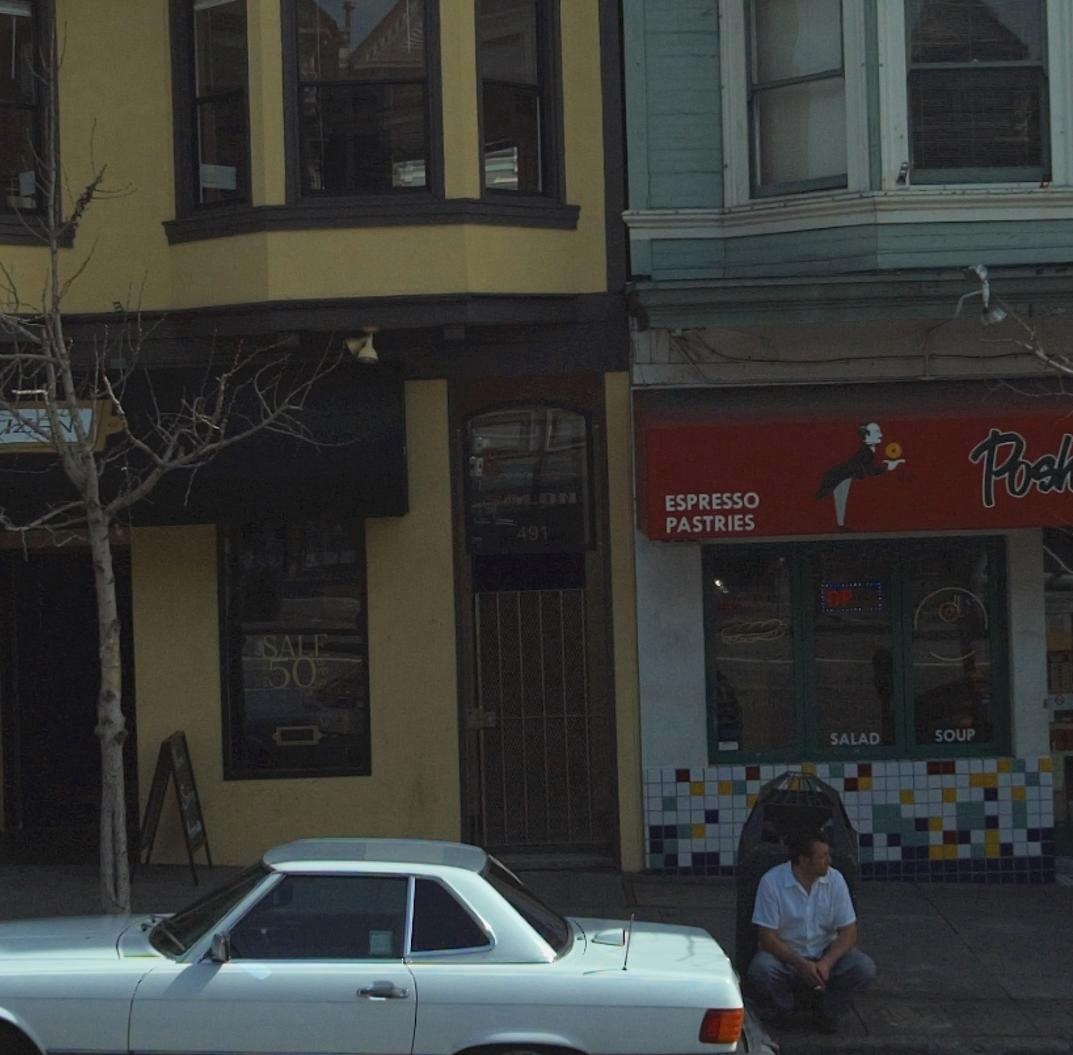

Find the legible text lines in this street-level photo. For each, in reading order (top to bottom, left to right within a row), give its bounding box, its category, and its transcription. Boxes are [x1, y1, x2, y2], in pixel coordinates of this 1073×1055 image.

[964, 425, 1073, 516] BusinessName: Pos*
[482, 487, 583, 509] None: SALON
[660, 489, 764, 515] None: ESPRESSO
[516, 522, 551, 544] StreetNumber: 491
[662, 512, 759, 536] None: PASTRIES
[824, 583, 882, 610] None: OP**
[262, 631, 333, 660] None: SALE
[268, 656, 321, 690] None: 50
[827, 730, 883, 747] None: SALAD
[932, 727, 978, 744] None: SOUP